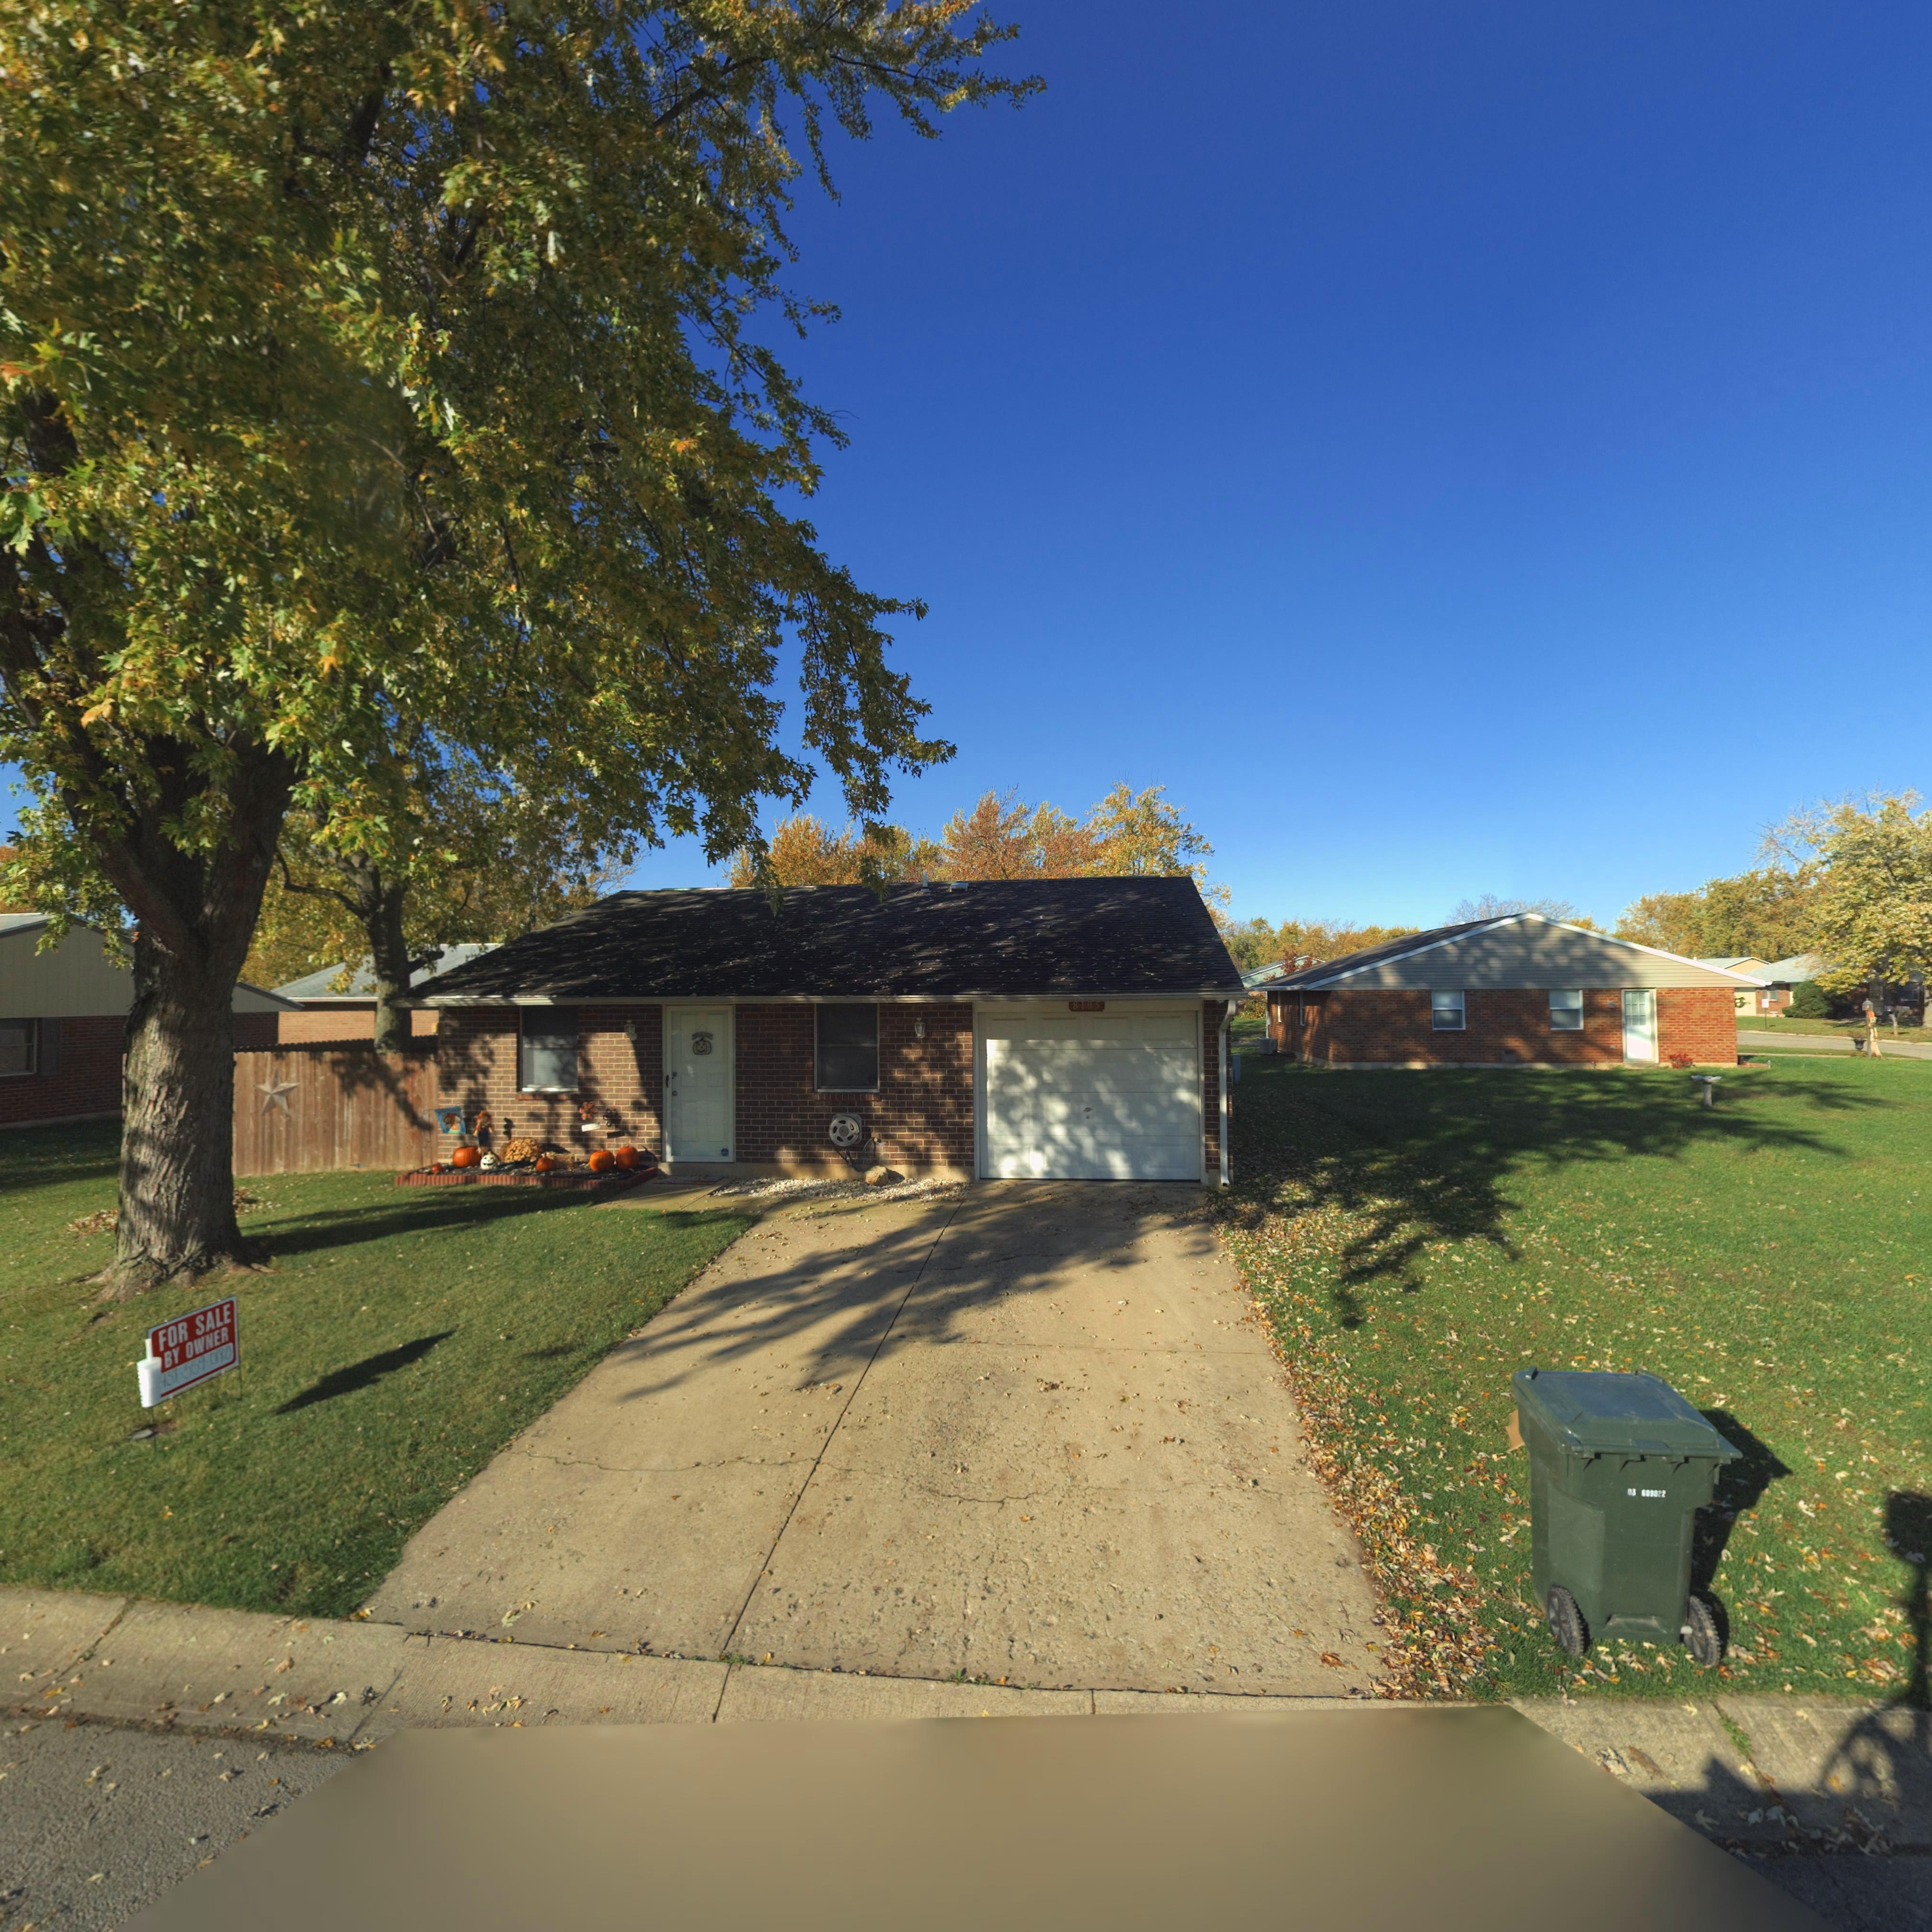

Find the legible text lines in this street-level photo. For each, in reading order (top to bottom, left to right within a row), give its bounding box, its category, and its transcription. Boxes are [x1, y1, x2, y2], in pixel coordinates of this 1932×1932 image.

[1072, 1000, 1101, 1012] StreetNumber: 8195